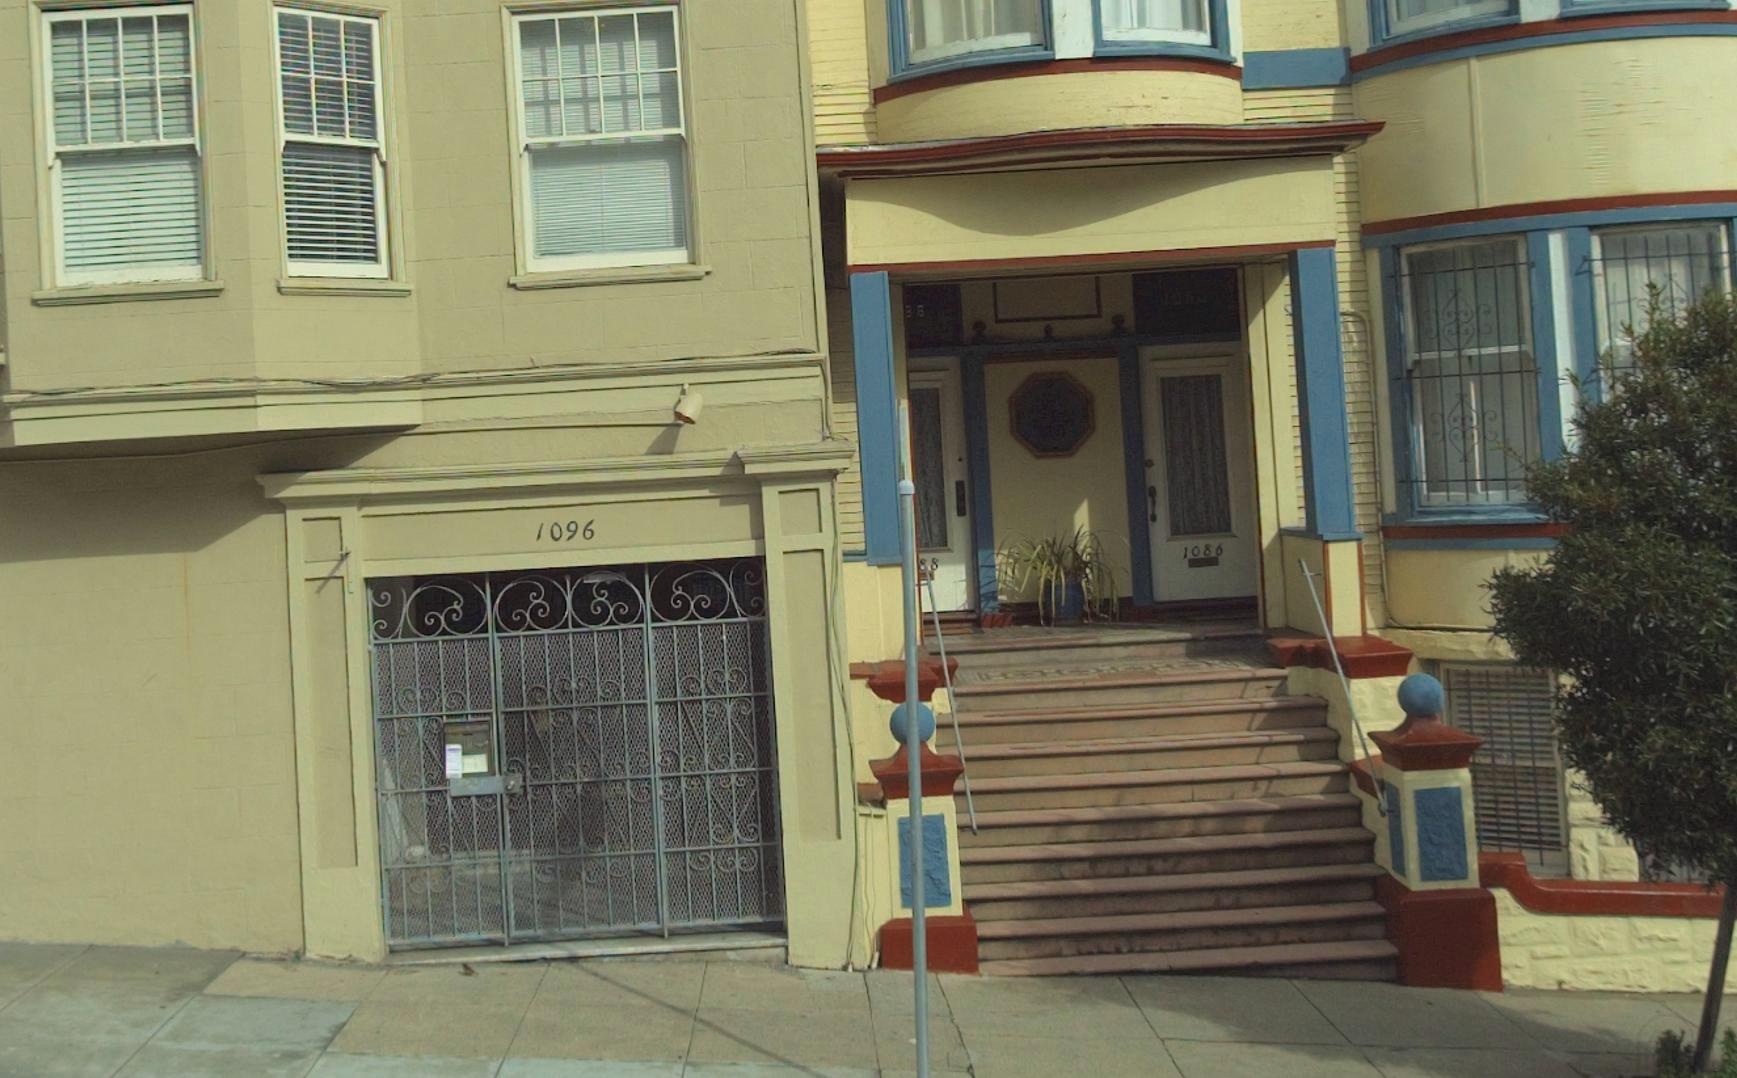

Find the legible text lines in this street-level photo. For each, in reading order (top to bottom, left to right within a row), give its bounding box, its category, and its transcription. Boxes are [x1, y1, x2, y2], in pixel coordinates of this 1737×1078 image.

[901, 302, 928, 320] StreetNumber: 88
[532, 516, 597, 544] StreetNumber: 1096
[1180, 540, 1226, 562] StreetNumber: 1086
[916, 555, 942, 573] StreetNumber: 88